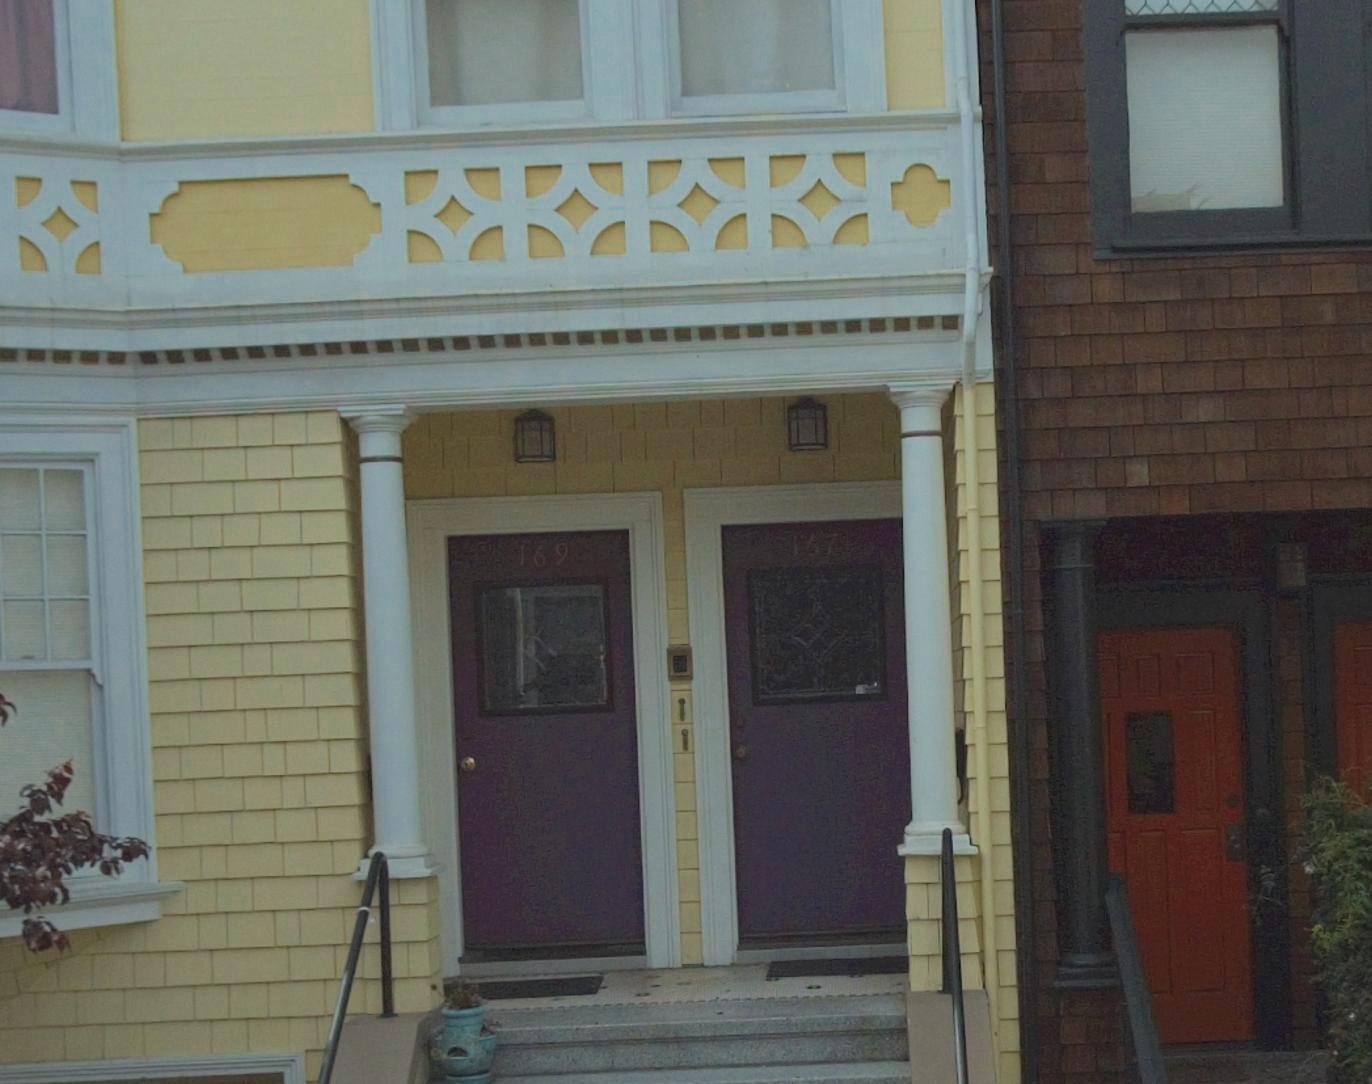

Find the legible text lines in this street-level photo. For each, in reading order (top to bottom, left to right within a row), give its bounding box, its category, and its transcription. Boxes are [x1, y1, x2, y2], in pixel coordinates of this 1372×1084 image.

[516, 541, 571, 570] StreetNumber: 169
[790, 530, 841, 560] StreetNumber: 167